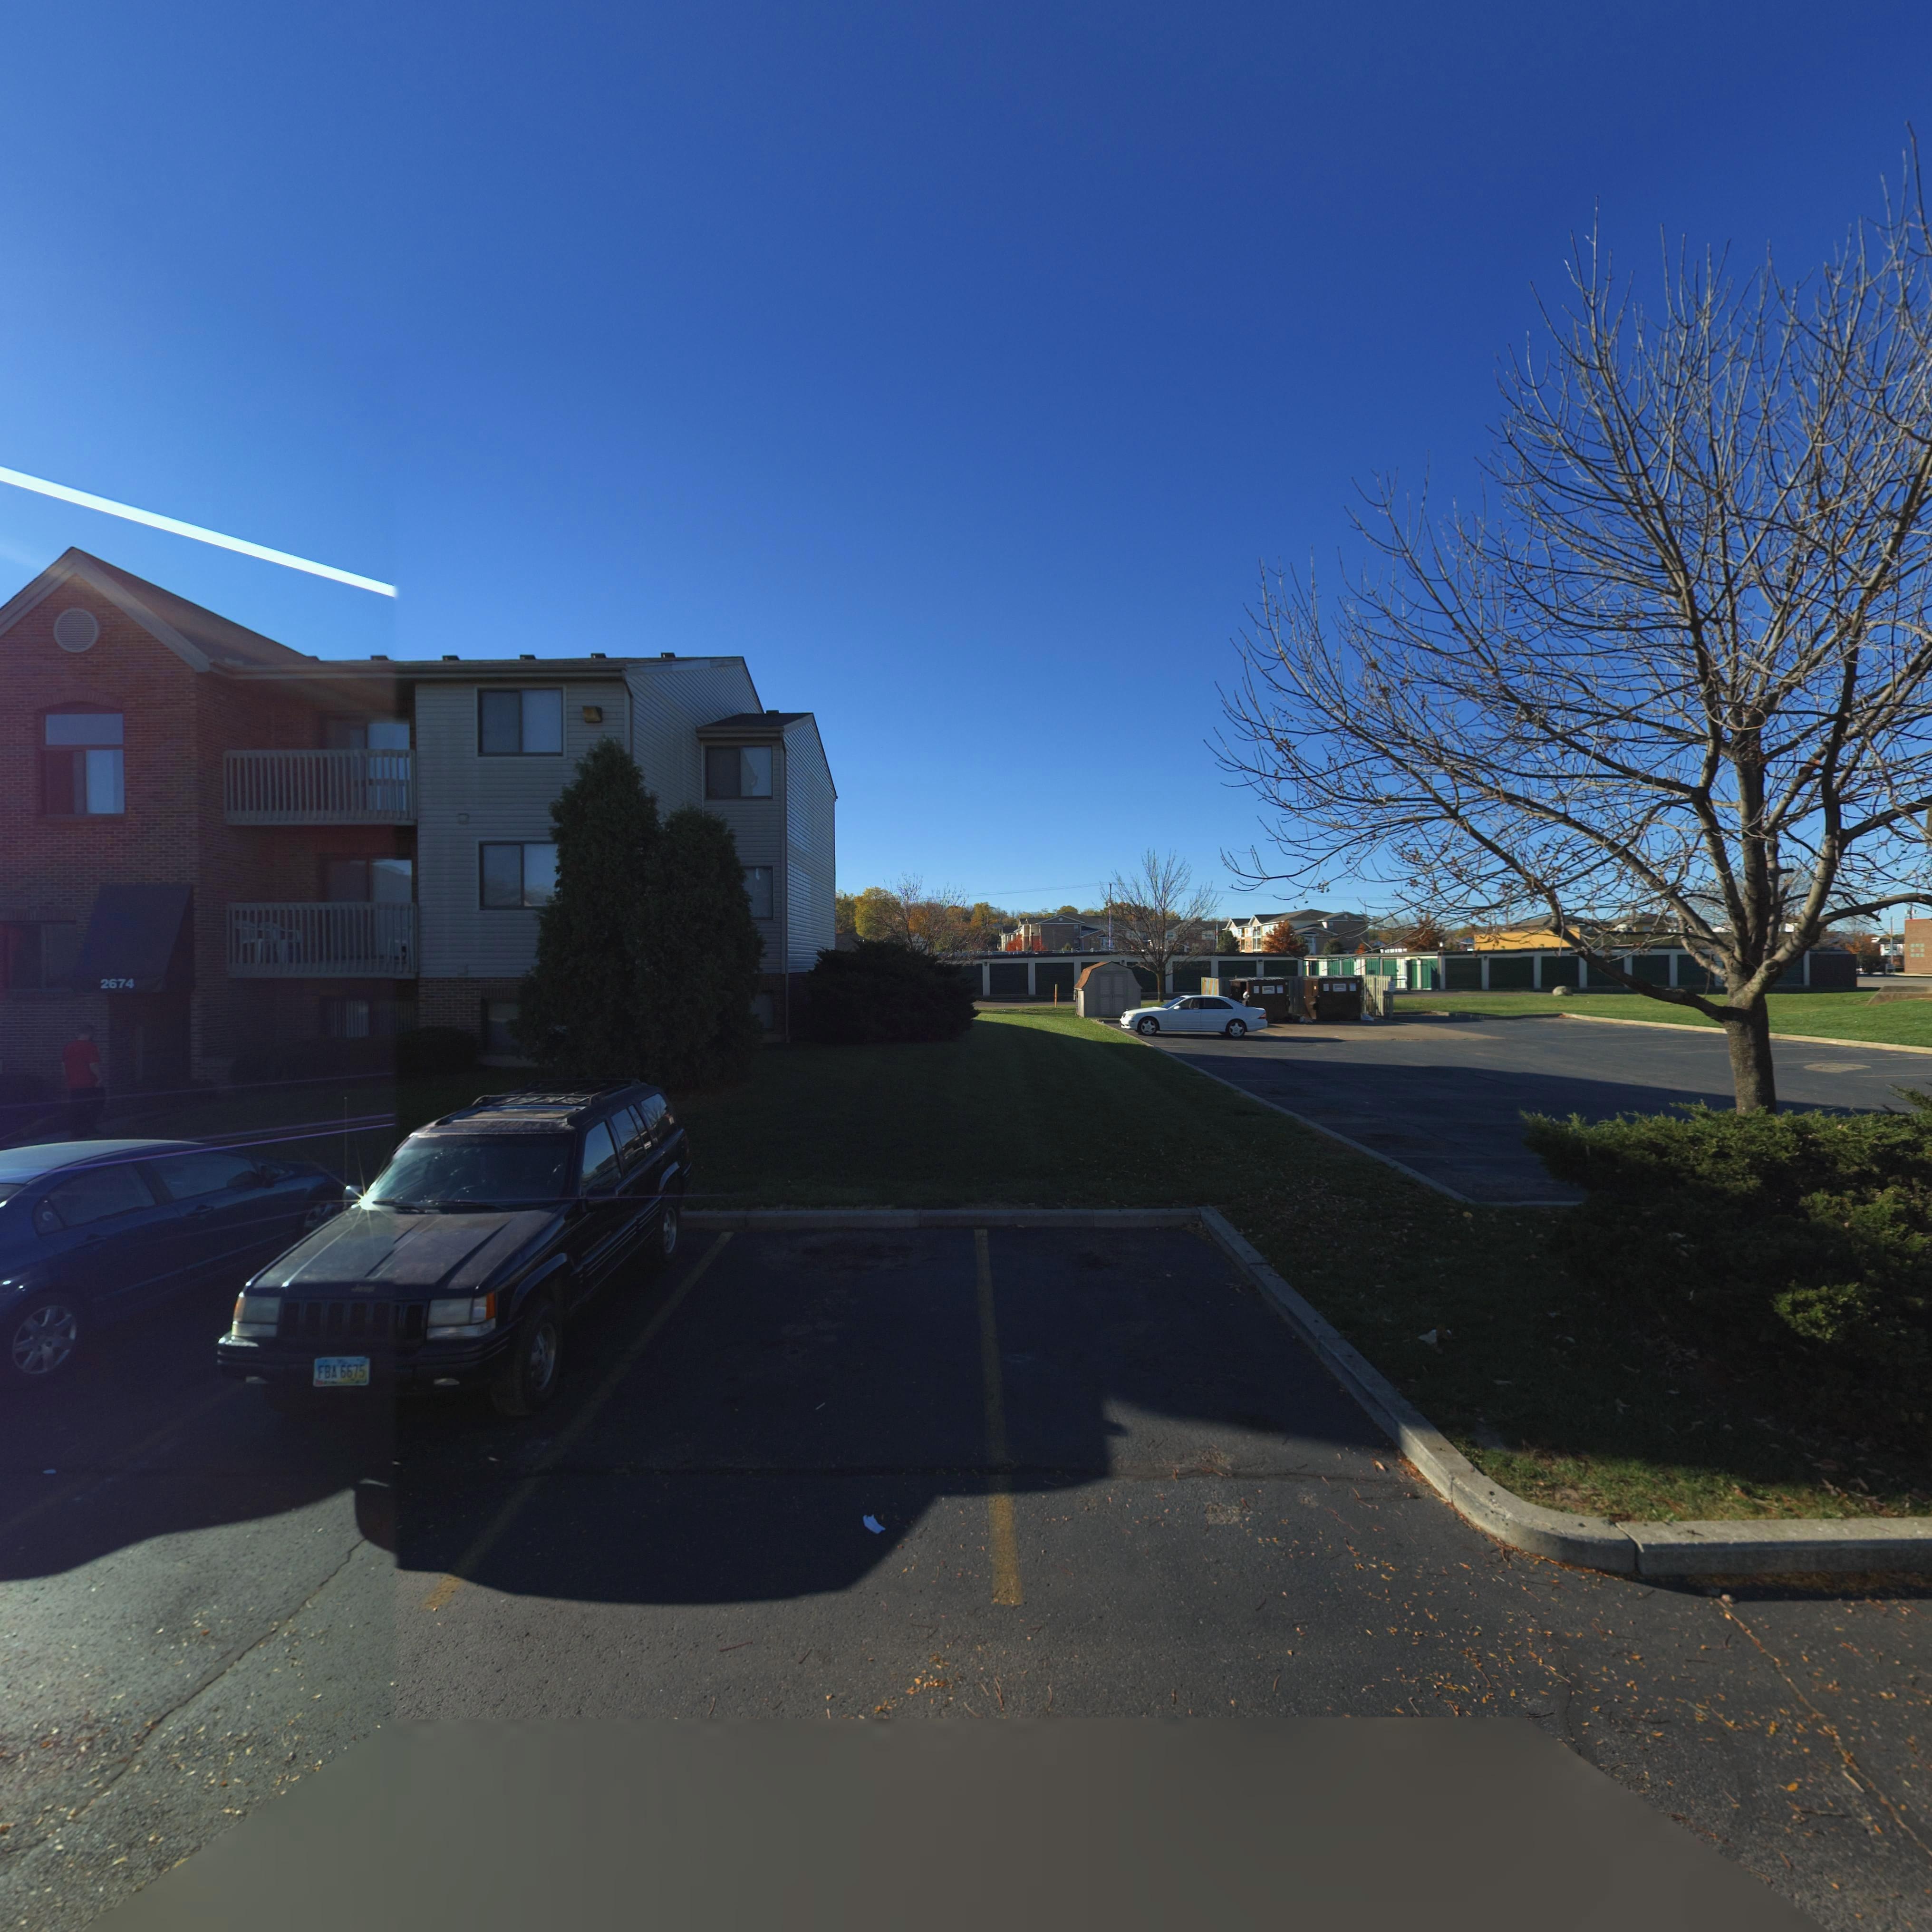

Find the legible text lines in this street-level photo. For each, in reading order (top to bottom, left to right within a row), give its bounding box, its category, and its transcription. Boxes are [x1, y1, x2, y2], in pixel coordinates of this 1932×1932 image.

[100, 978, 135, 989] StreetNumber: 2674